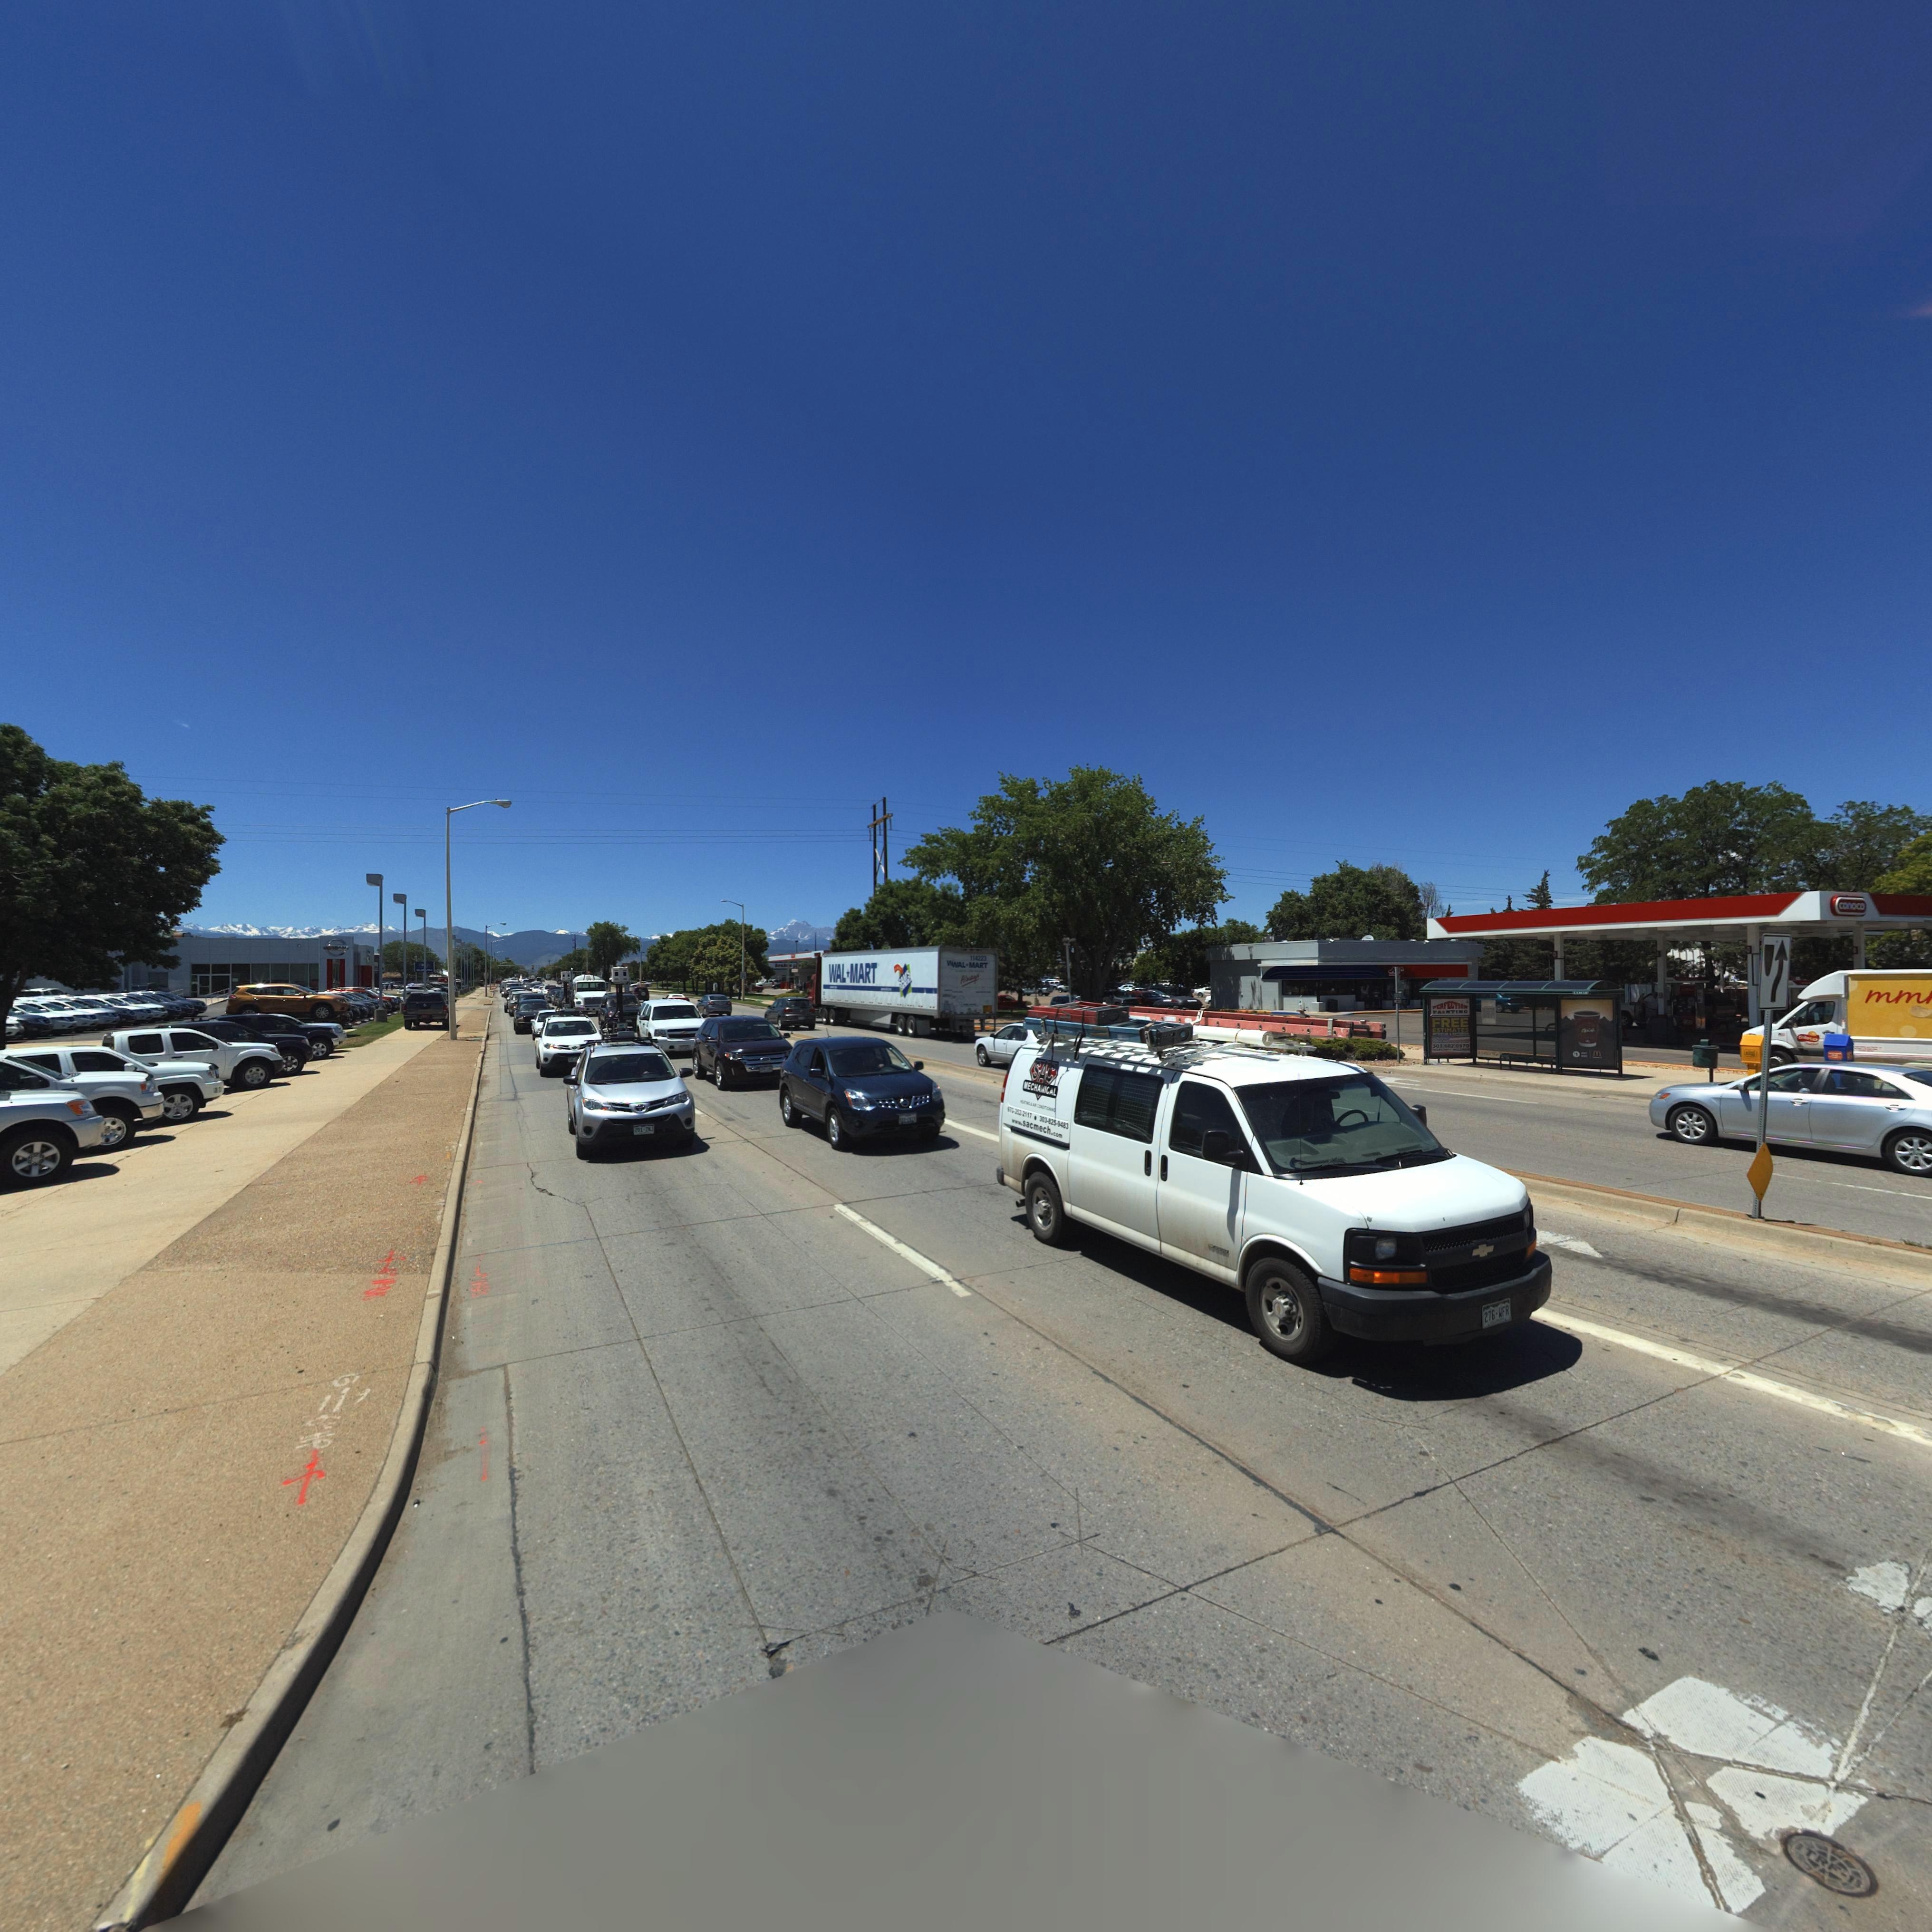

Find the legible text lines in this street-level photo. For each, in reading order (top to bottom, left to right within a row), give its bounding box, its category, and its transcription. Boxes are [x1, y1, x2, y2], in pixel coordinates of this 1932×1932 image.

[1838, 902, 1865, 910] BusinessName: conoco
[327, 945, 346, 949] BusinessName: ****AN
[775, 963, 801, 968] BusinessName: bra*** ****